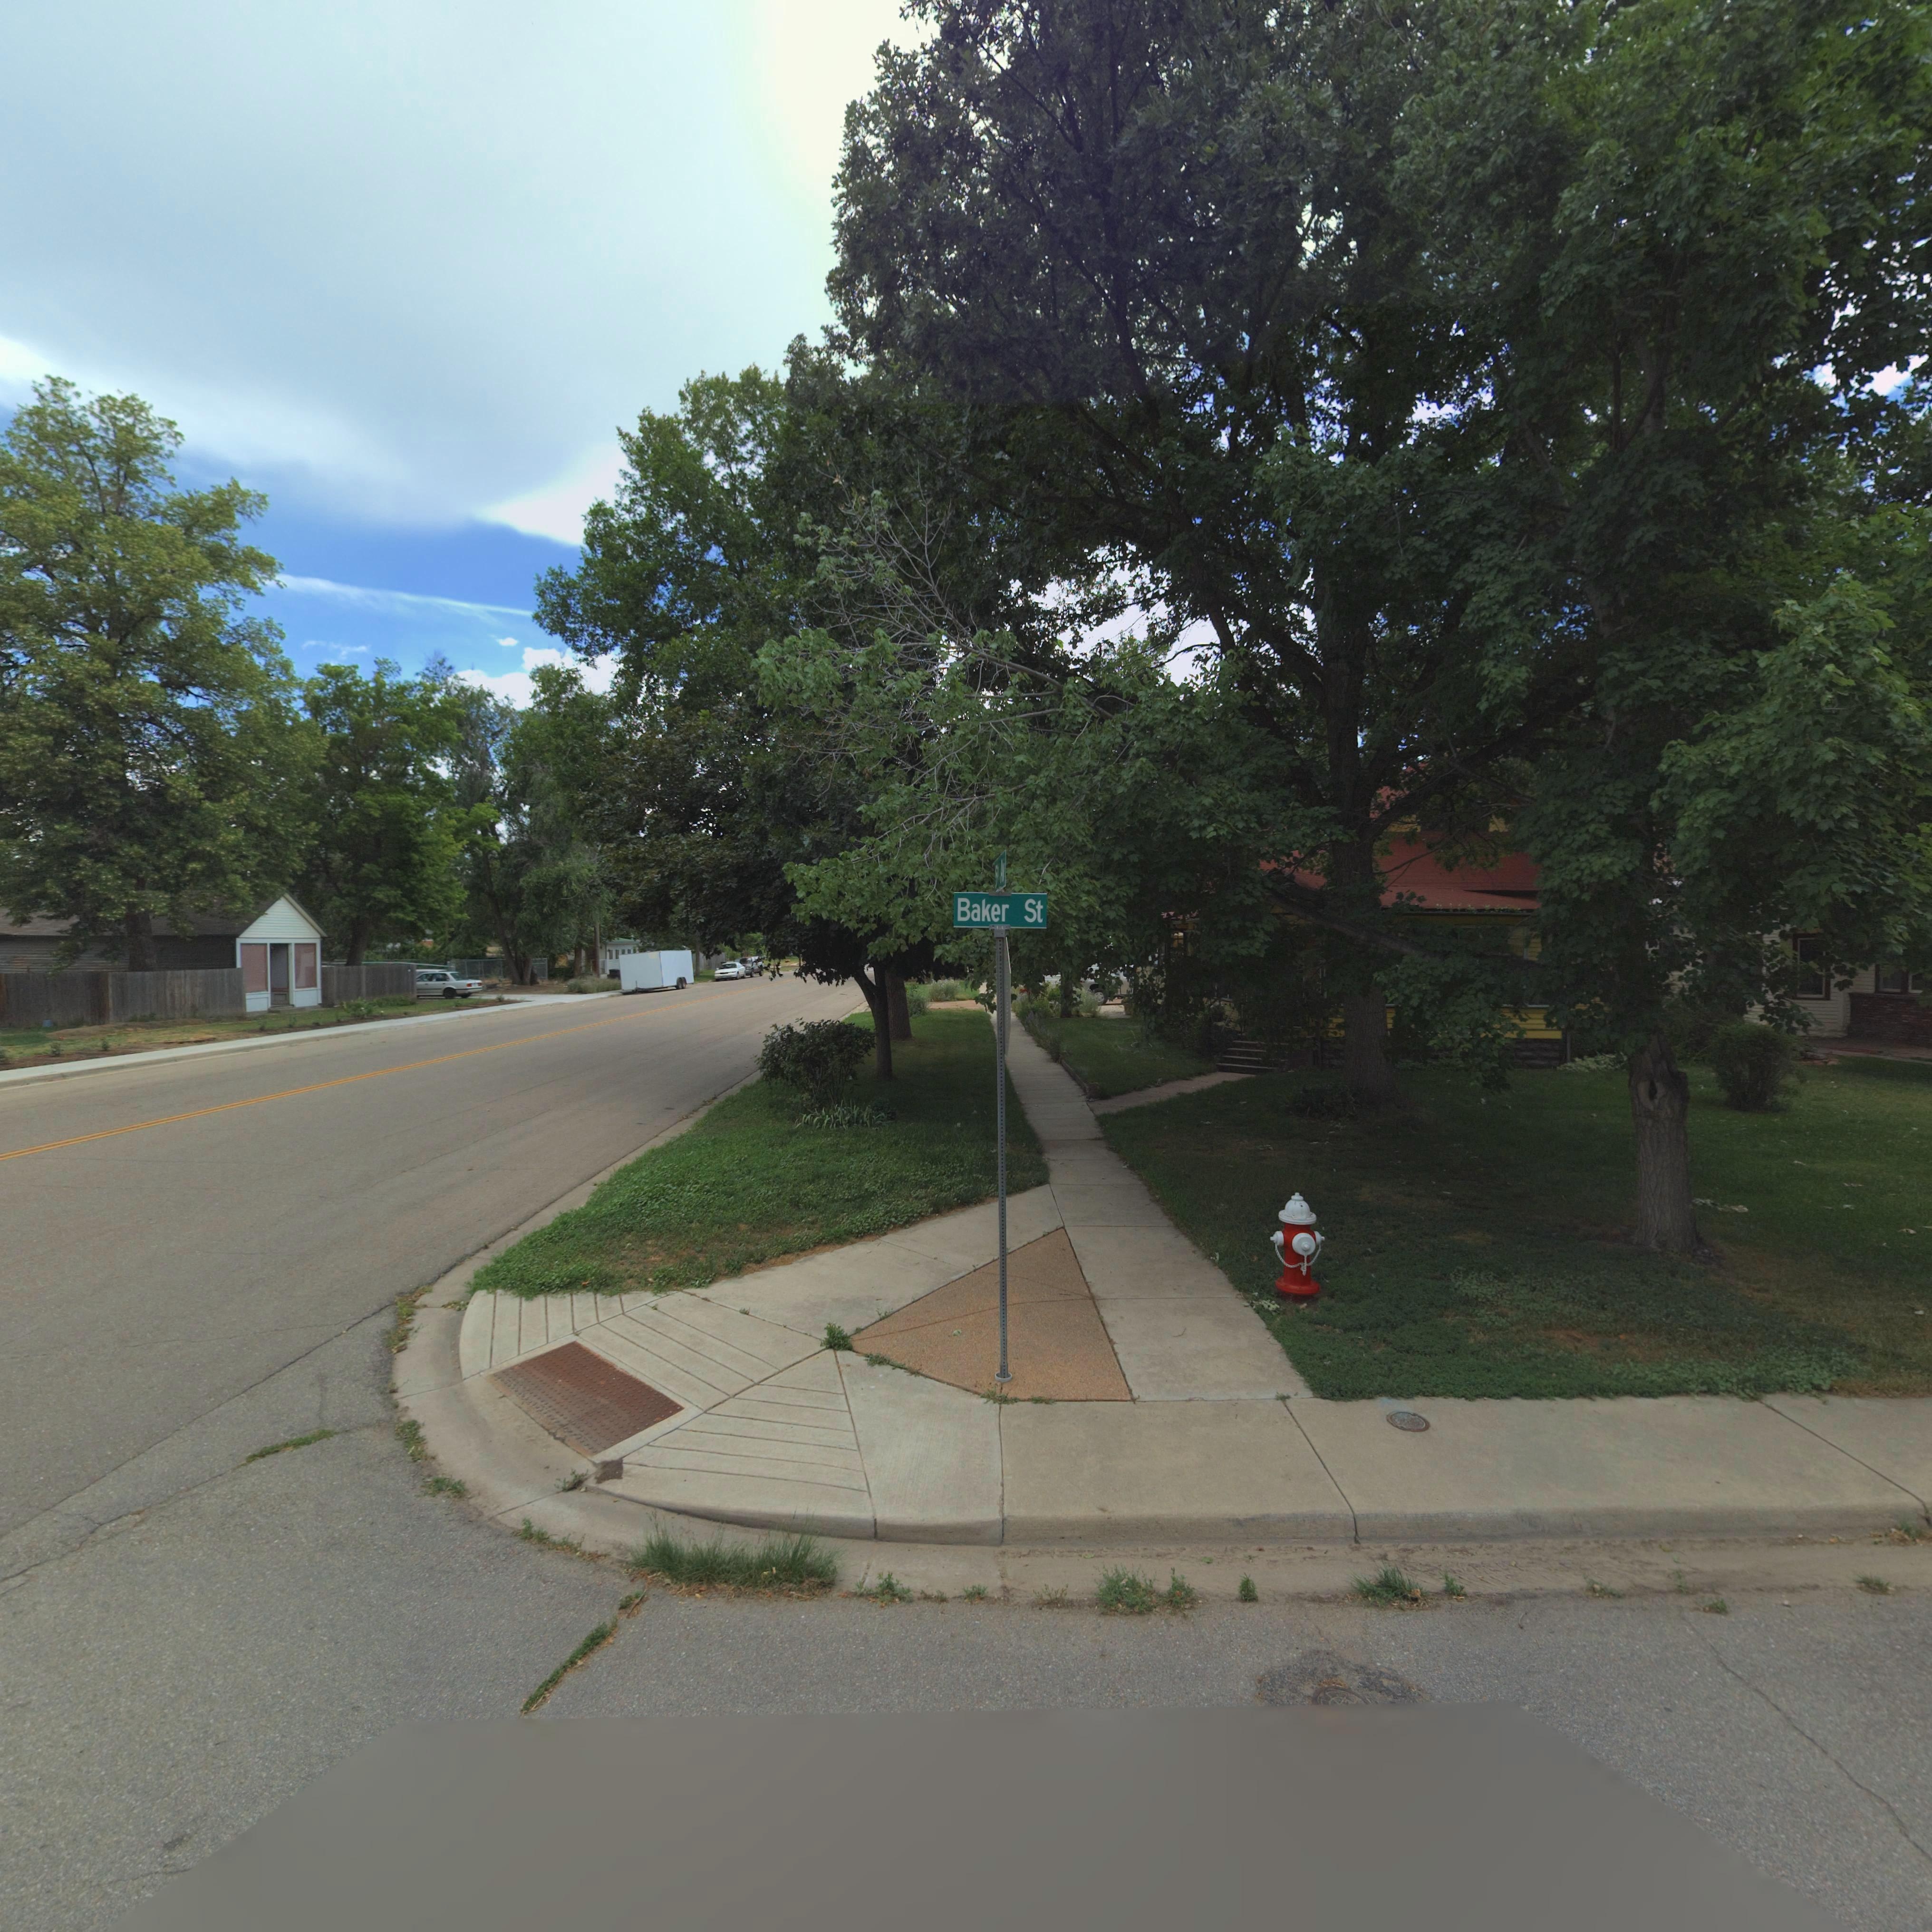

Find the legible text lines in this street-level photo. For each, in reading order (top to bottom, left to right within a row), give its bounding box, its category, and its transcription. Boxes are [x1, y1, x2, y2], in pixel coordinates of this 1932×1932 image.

[956, 896, 1043, 924] StreetName: Baker St